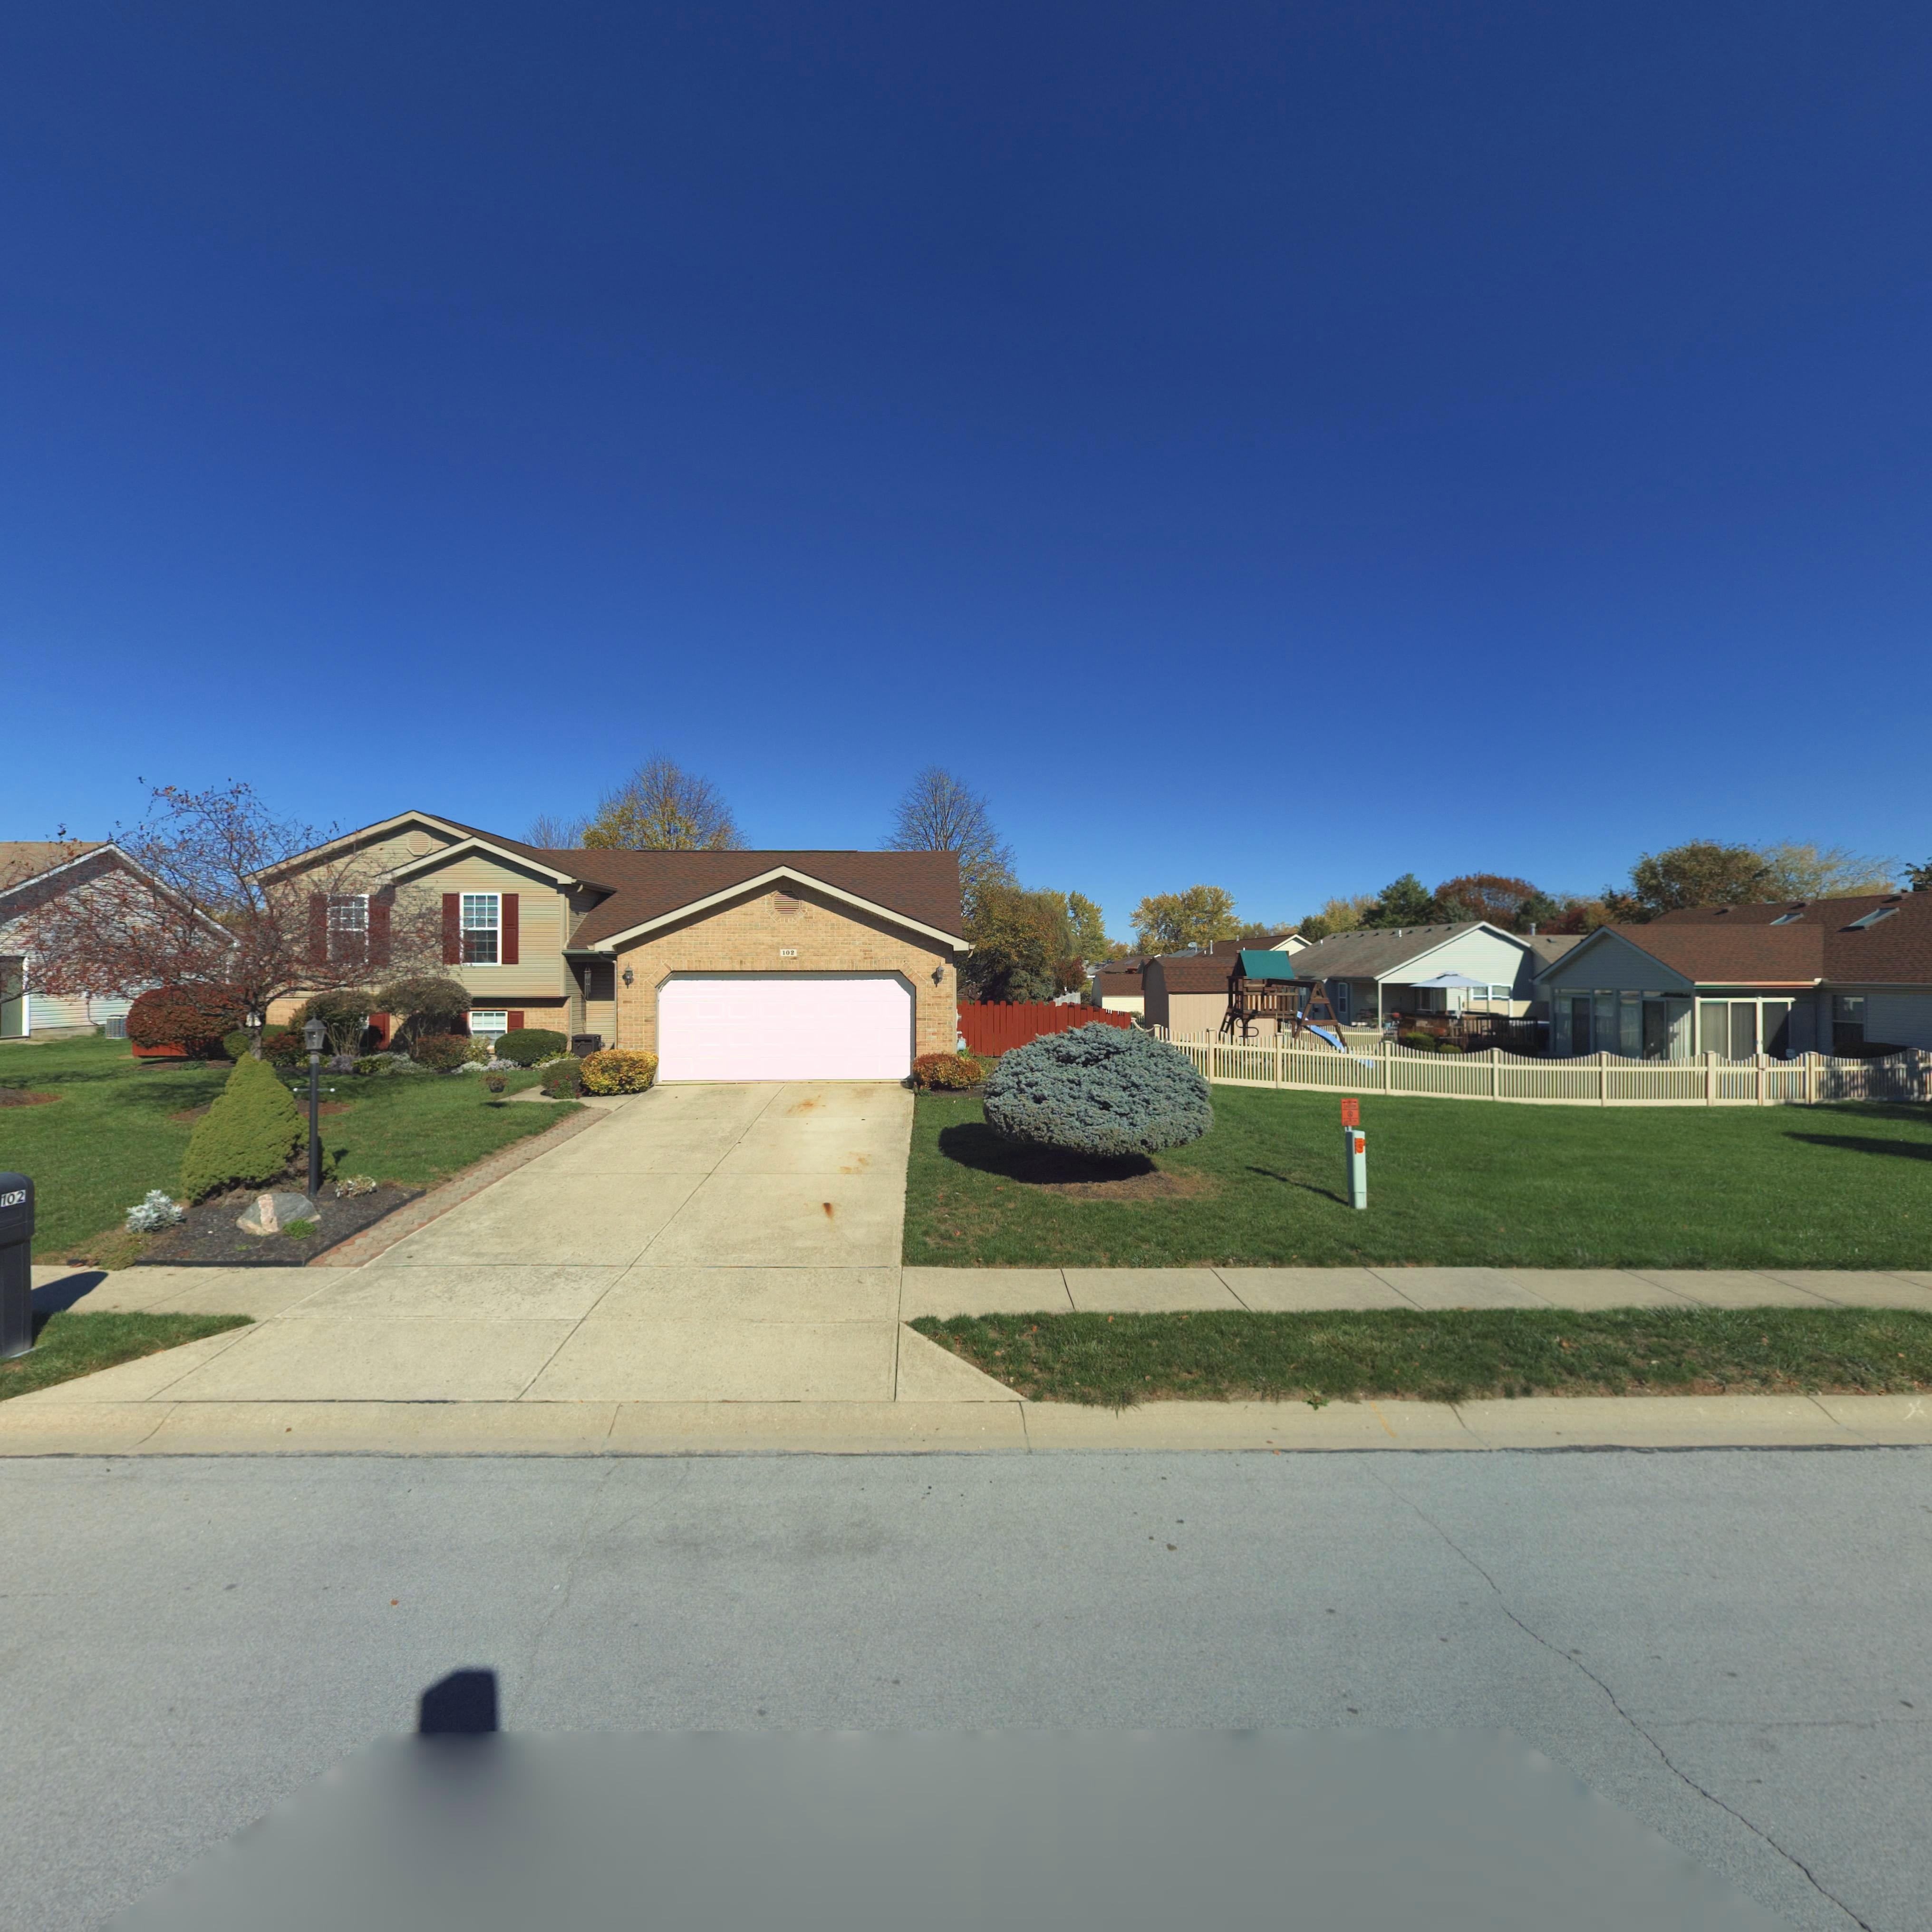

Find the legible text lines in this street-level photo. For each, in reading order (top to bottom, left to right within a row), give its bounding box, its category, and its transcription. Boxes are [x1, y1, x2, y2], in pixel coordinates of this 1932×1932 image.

[782, 950, 795, 955] StreetNumber: 102
[1, 1189, 25, 1207] StreetNumber: 102